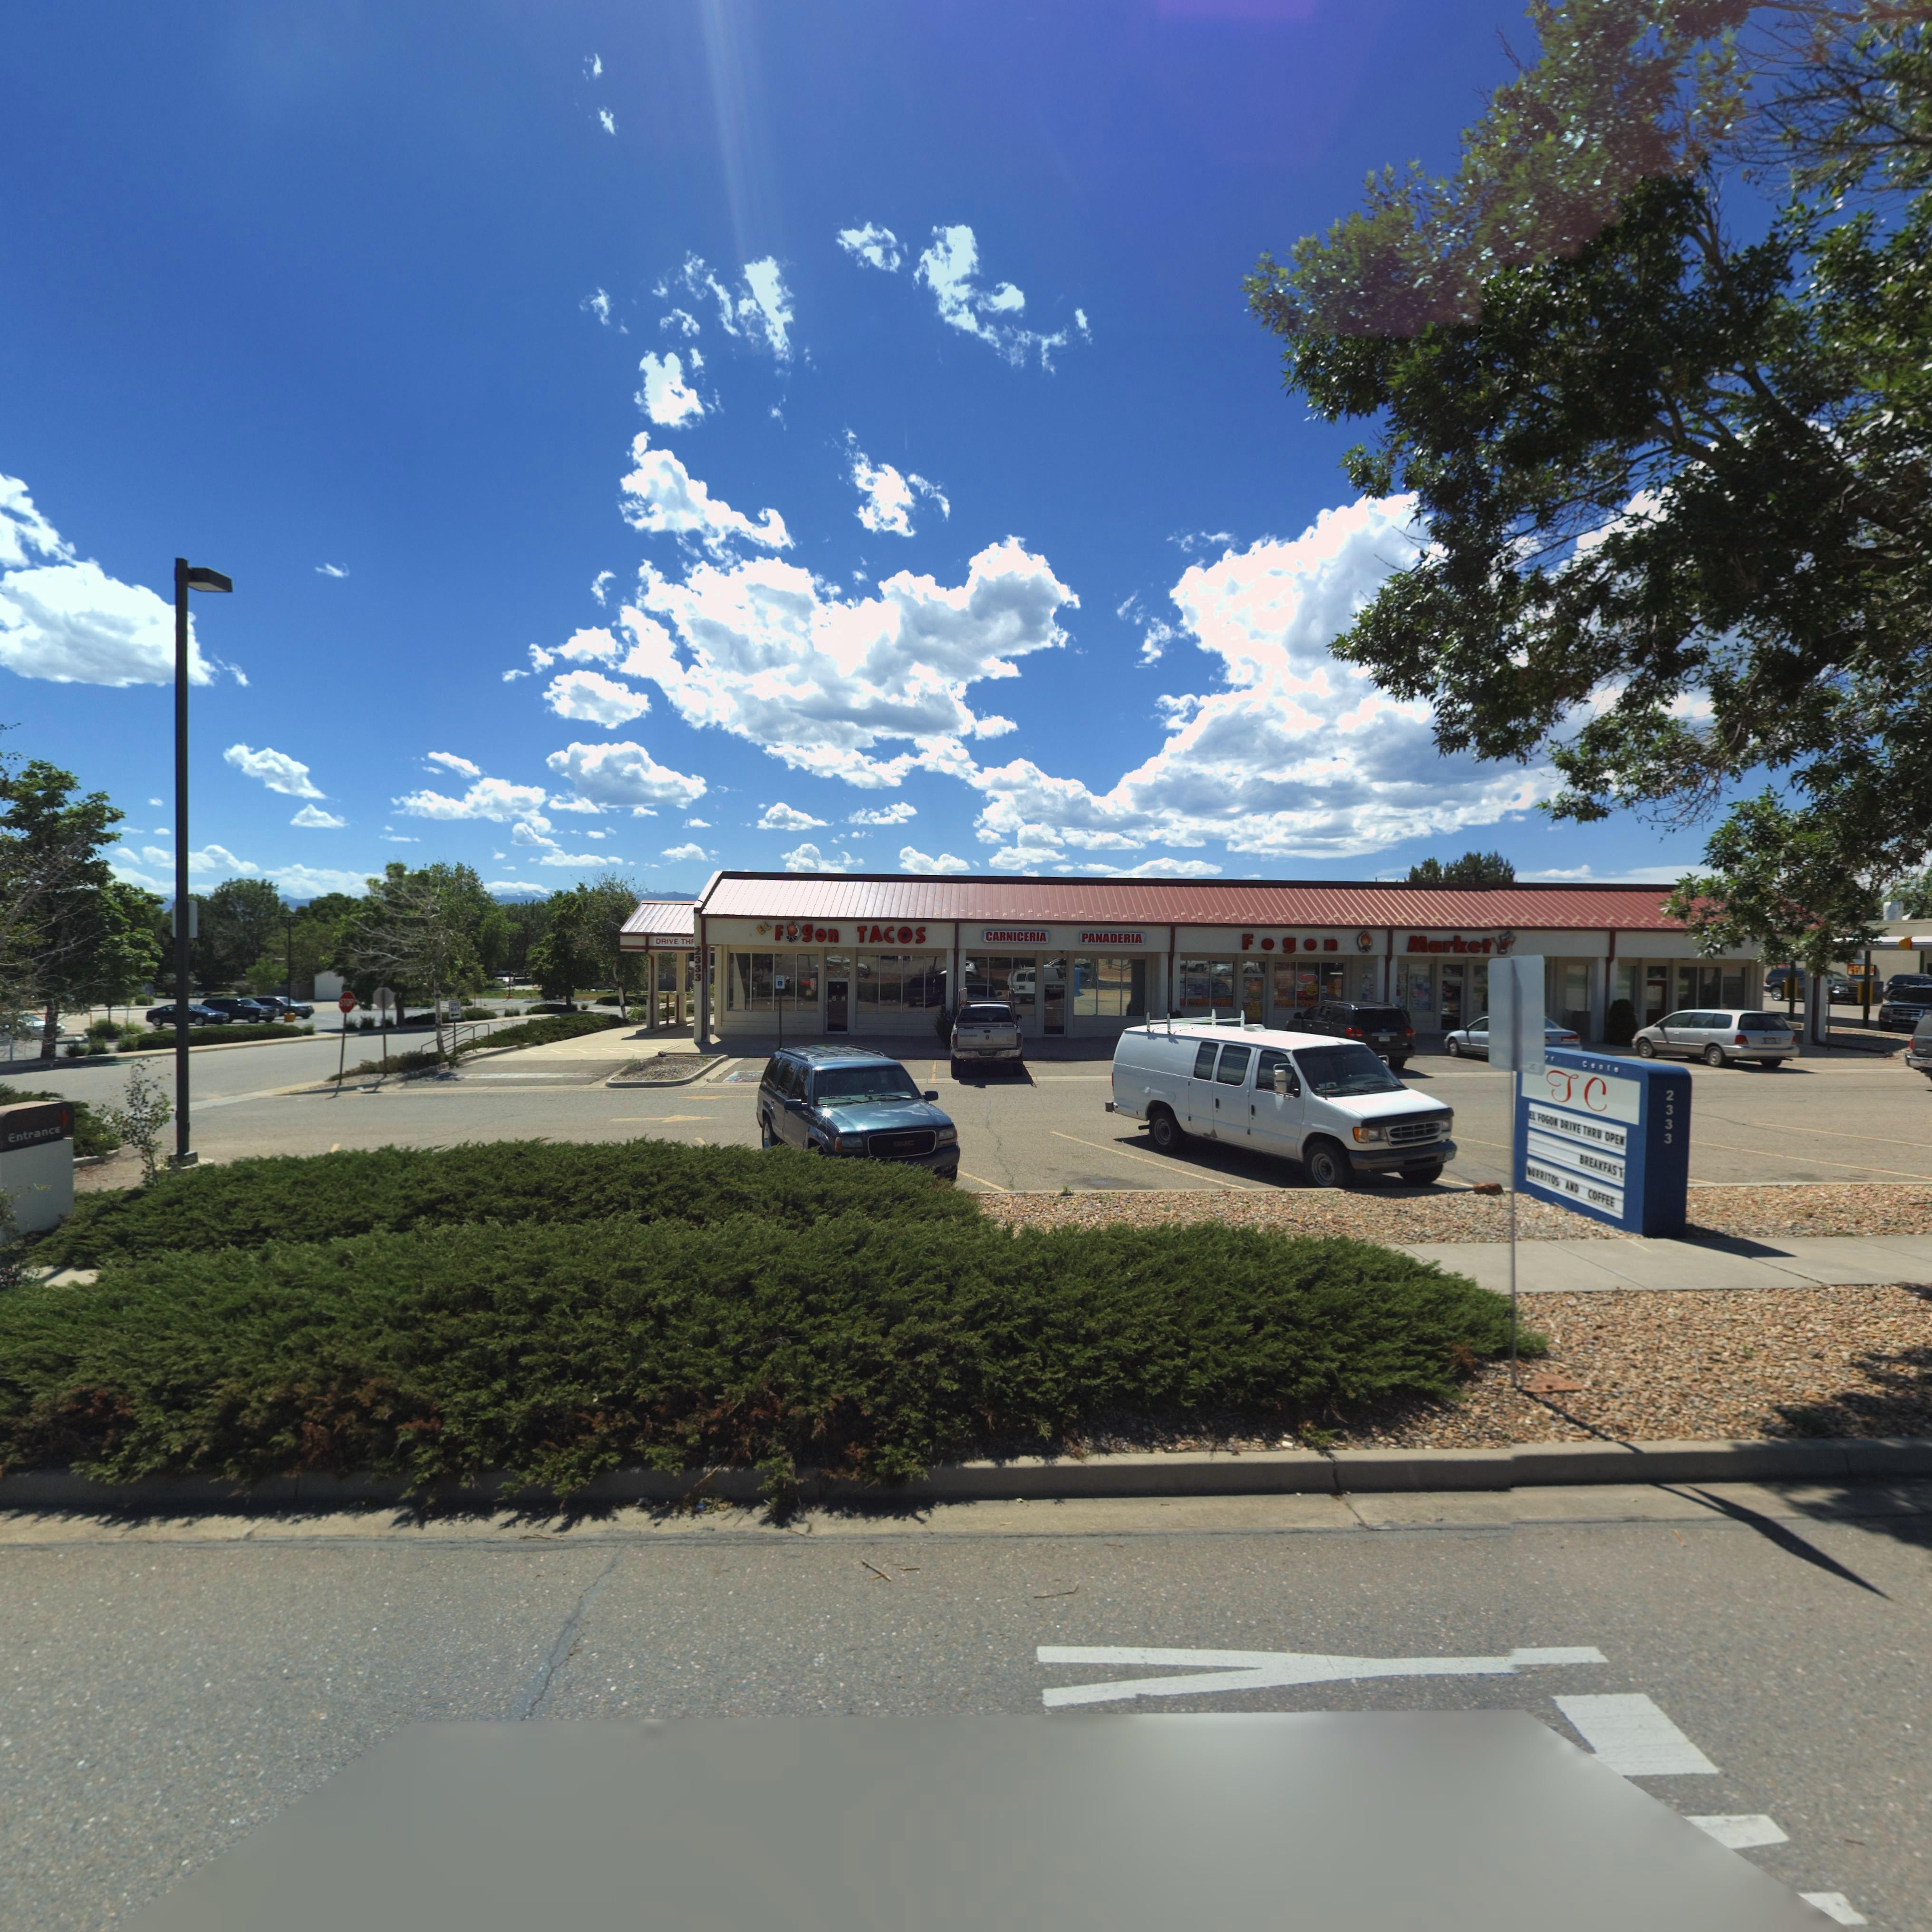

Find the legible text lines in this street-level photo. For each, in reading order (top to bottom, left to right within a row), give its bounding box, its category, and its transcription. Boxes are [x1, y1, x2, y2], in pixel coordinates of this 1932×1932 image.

[755, 921, 772, 935] BusinessName: EL
[774, 923, 927, 945] BusinessName: F*gon TACOS
[985, 931, 1046, 942] BusinessName: CARNICERIA
[1082, 933, 1142, 943] BusinessName: PANADERIA
[1241, 932, 1492, 956] BusinessName: Fogon * Market
[694, 947, 701, 982] BusinessName: 2333
[1663, 1089, 1674, 1145] StreetNumber: 2333